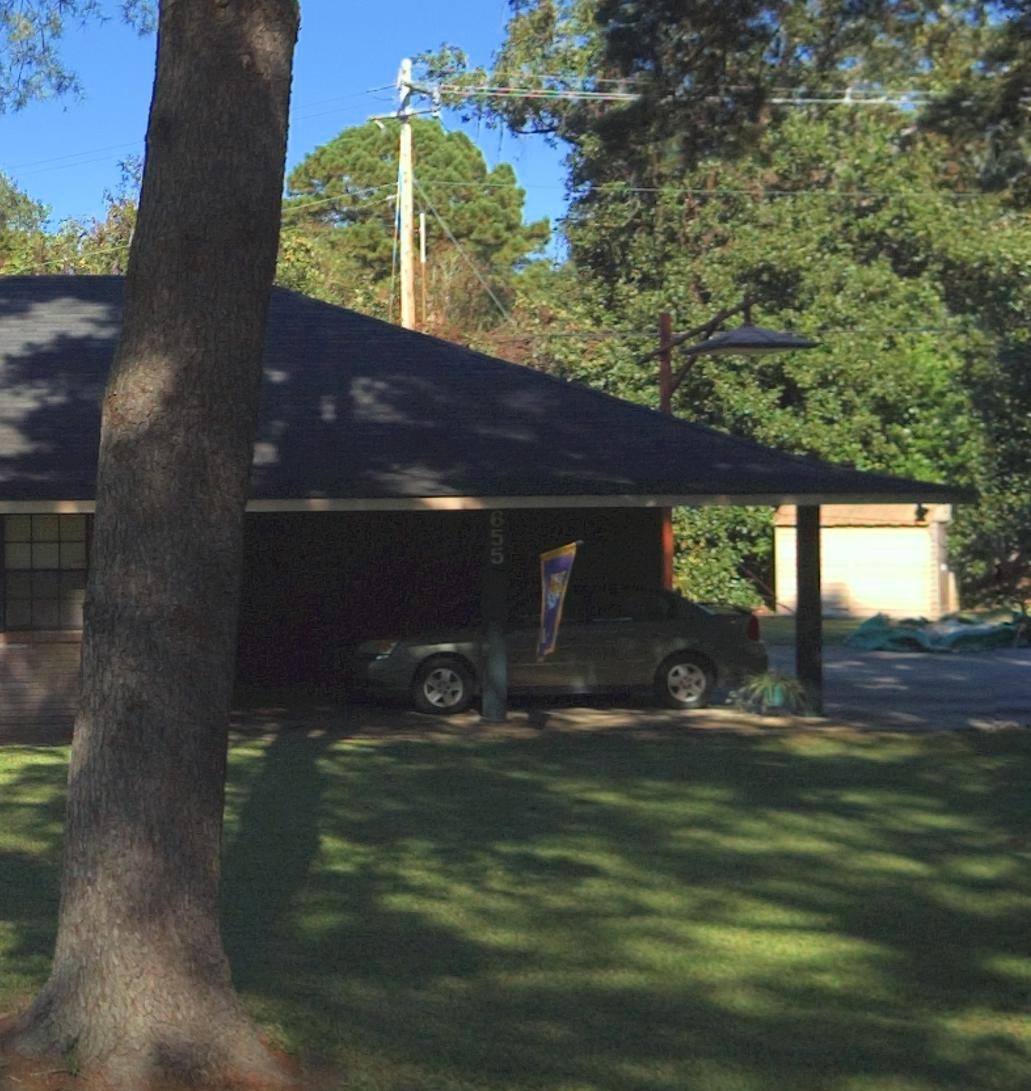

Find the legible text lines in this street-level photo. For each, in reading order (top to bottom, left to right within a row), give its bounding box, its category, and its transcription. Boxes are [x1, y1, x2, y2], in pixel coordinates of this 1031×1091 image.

[488, 509, 506, 566] StreetNumber: 655